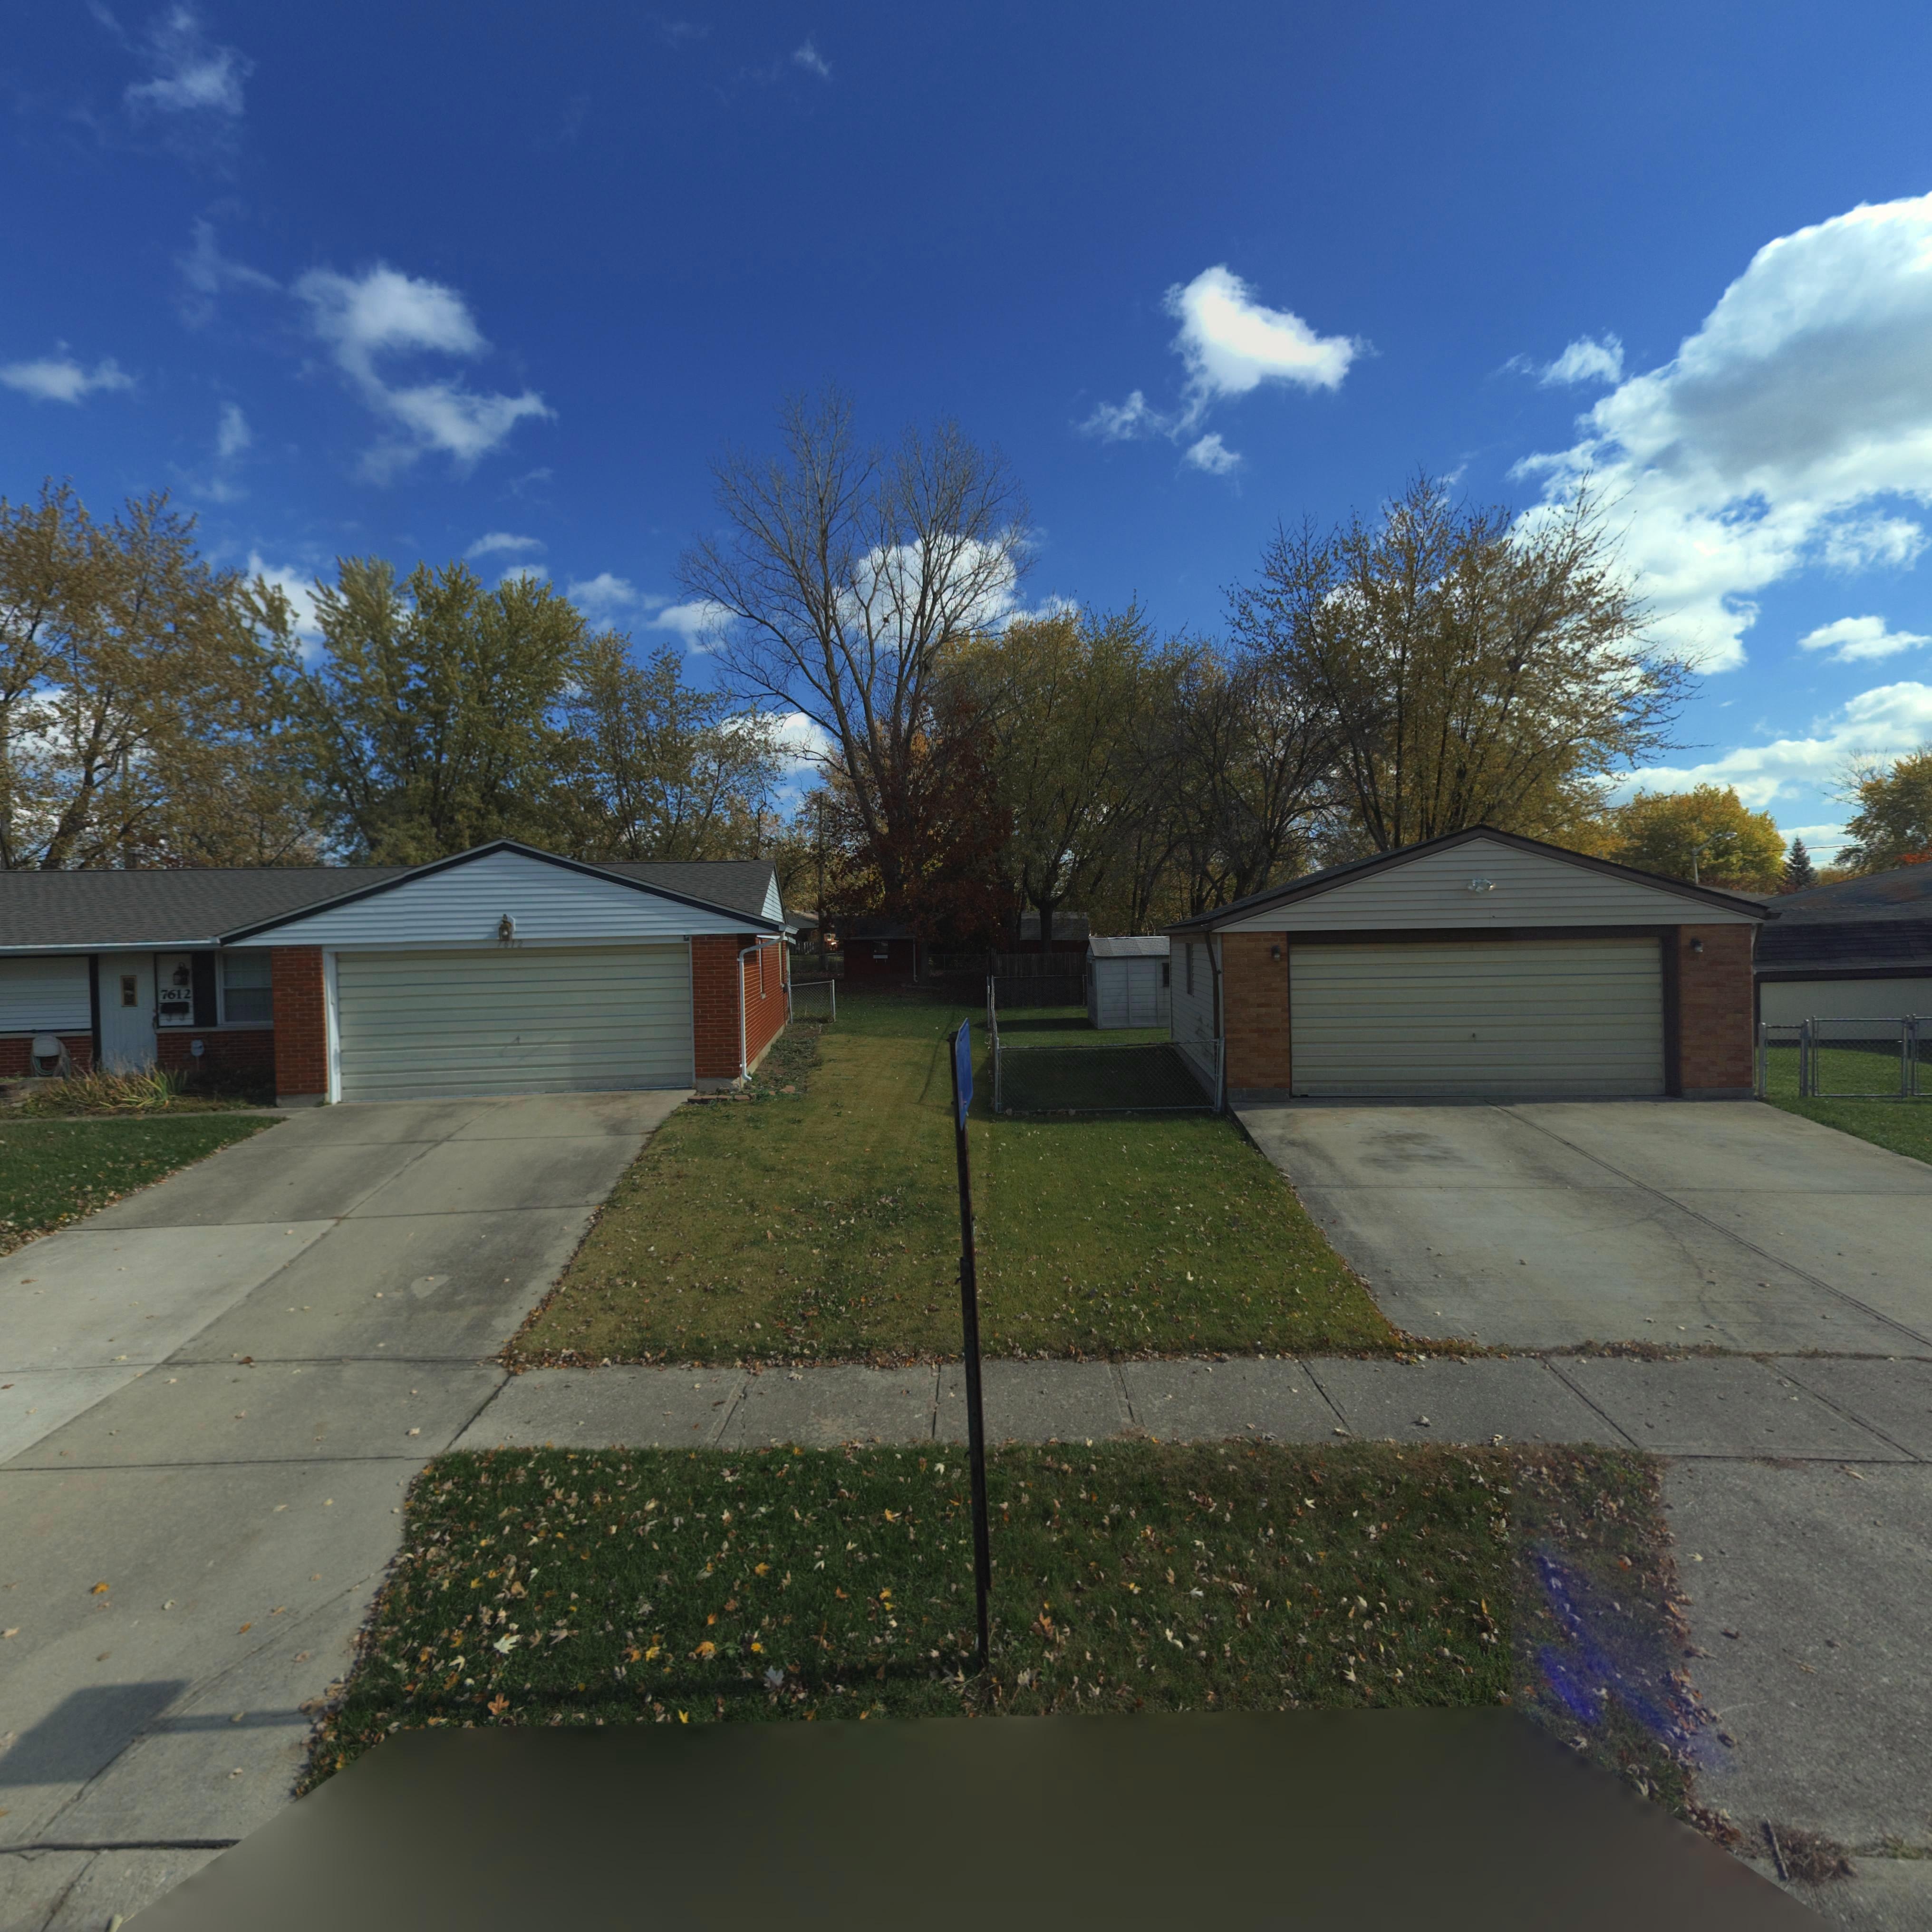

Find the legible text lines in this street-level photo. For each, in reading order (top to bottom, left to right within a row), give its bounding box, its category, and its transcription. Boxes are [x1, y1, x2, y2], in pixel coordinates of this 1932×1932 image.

[495, 937, 524, 950] StreetNumber: *612
[158, 987, 193, 1001] StreetNumber: 7612